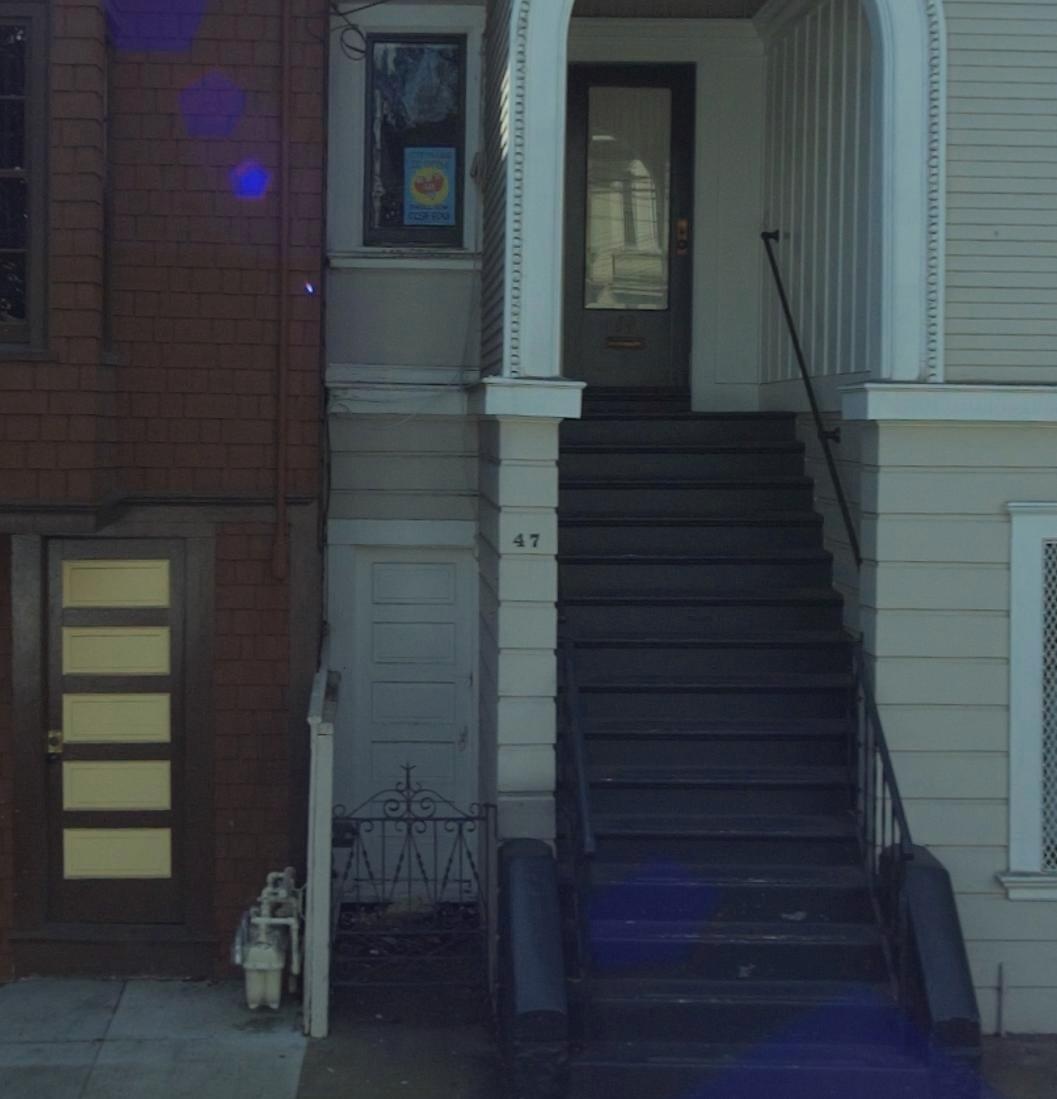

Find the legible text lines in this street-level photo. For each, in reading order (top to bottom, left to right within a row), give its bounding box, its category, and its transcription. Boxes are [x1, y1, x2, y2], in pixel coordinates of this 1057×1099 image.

[510, 532, 542, 551] StreetNumber: 47